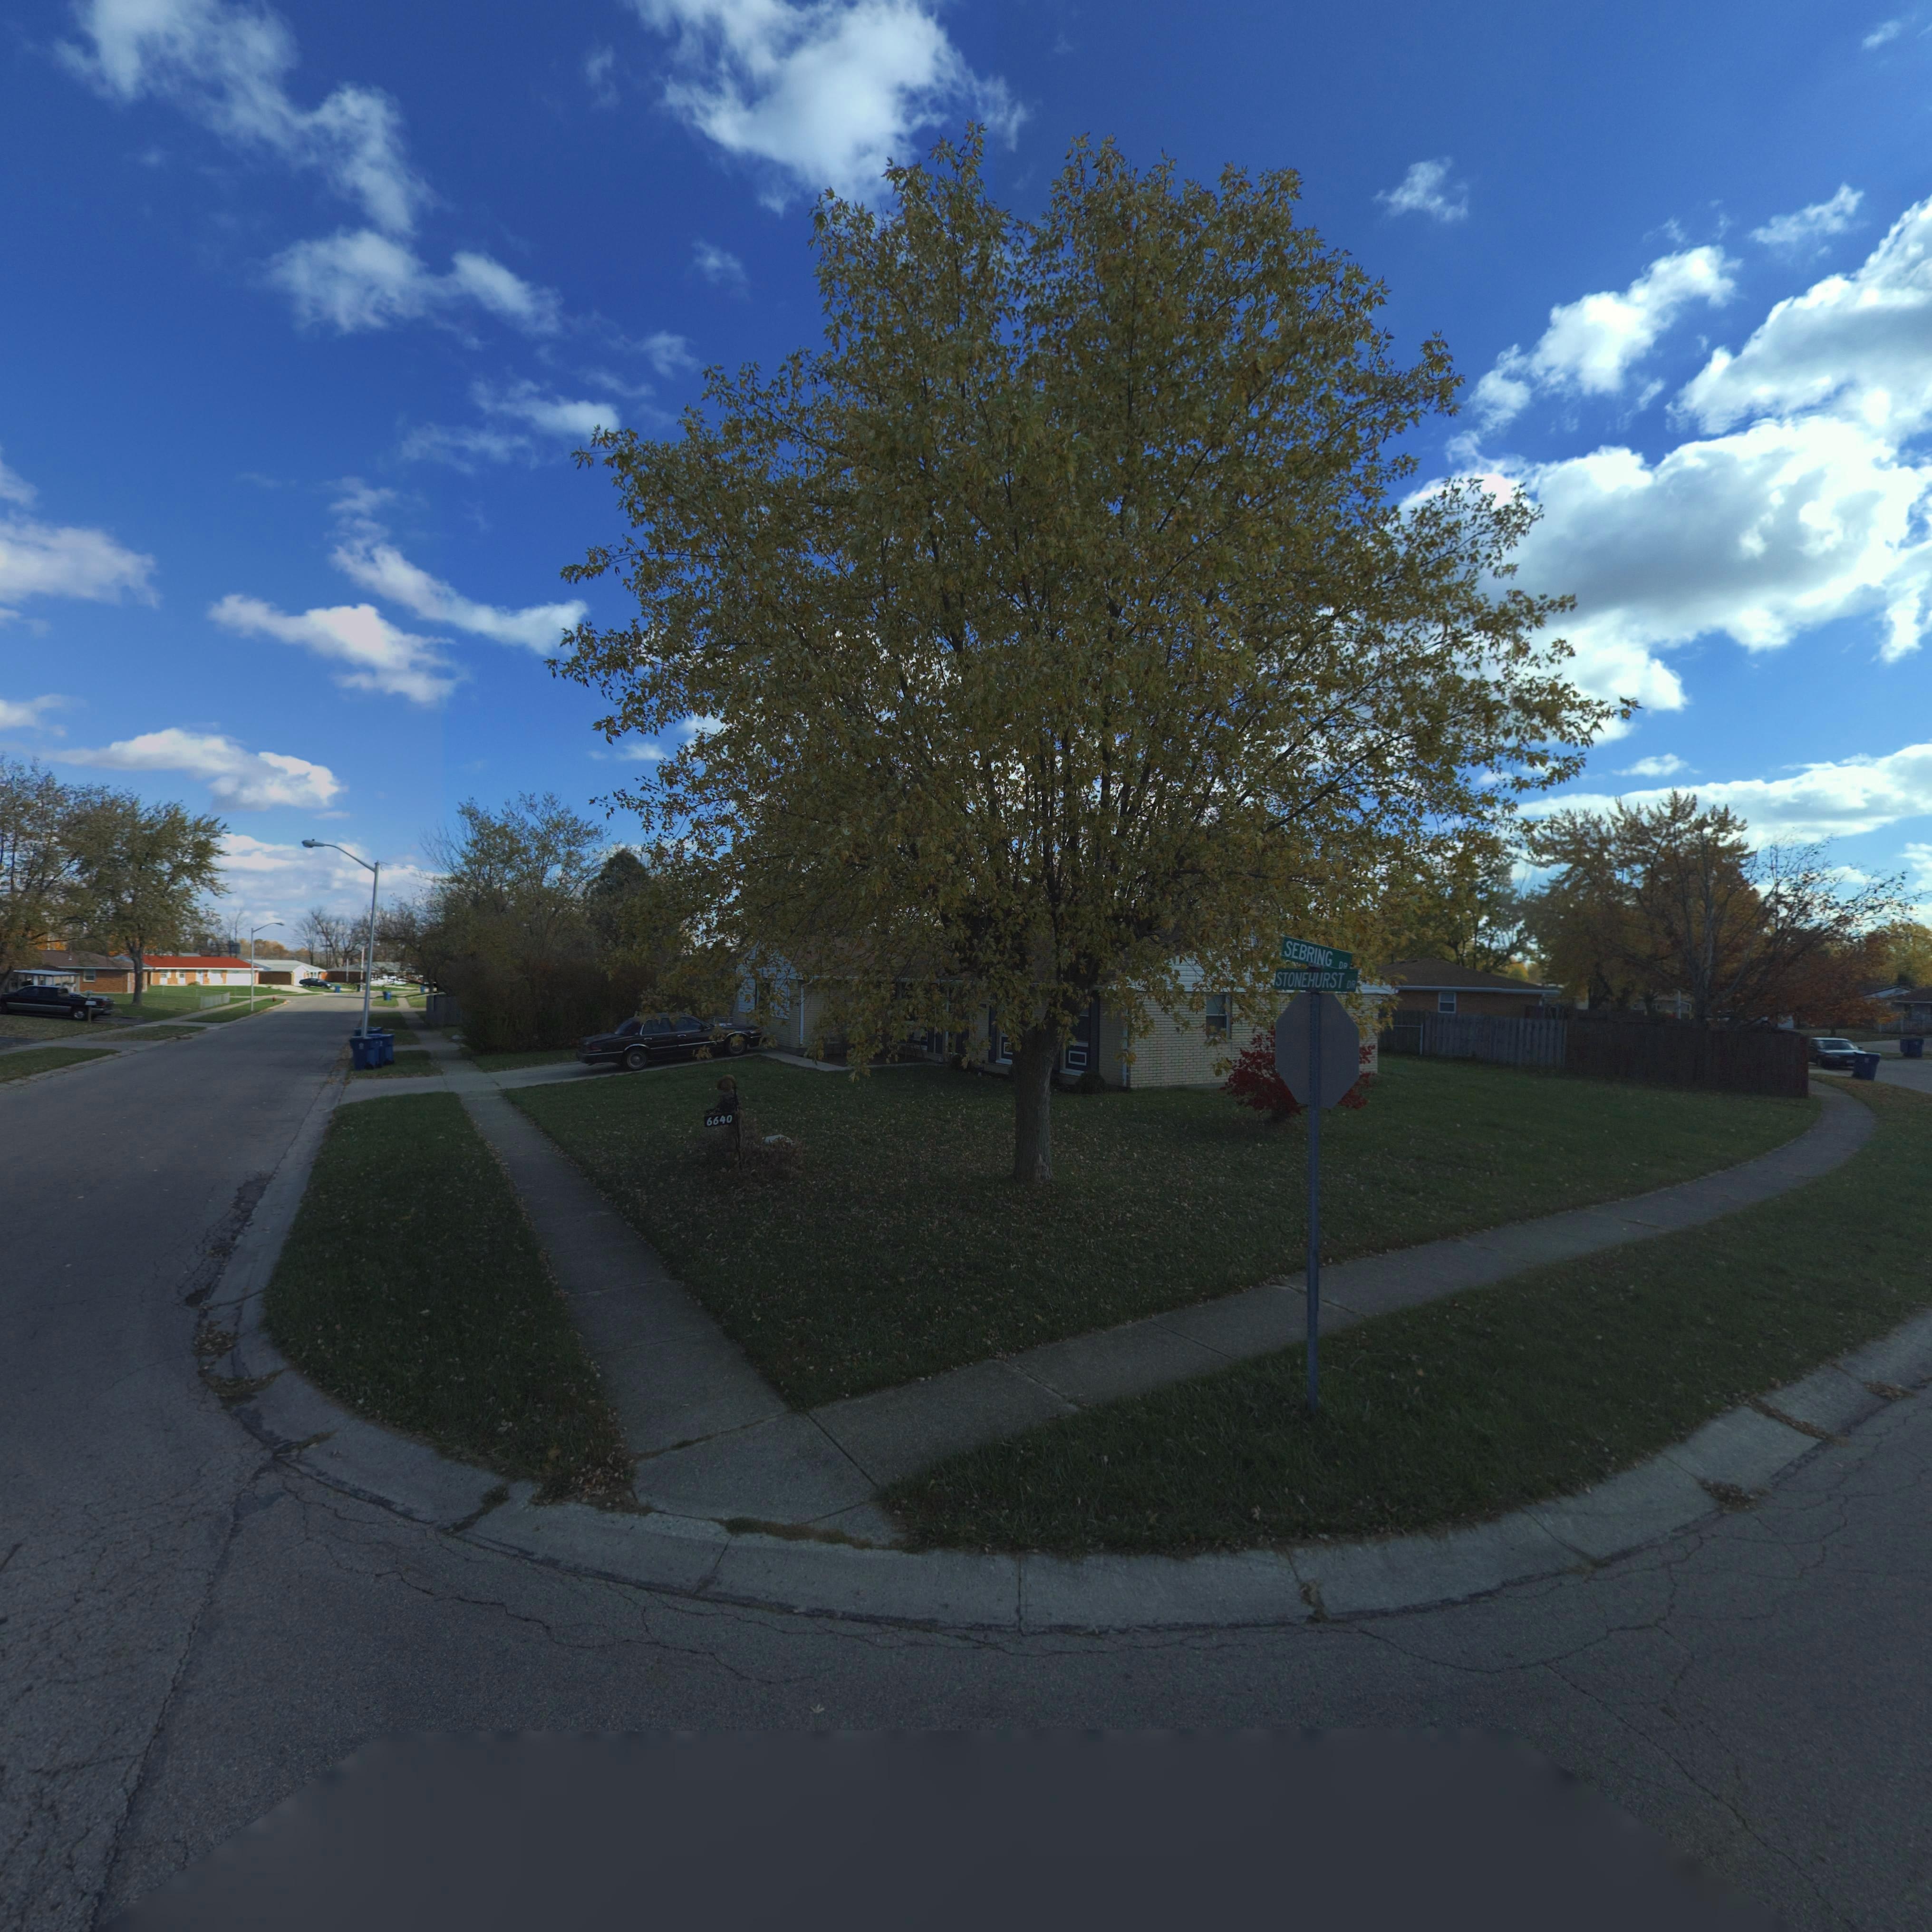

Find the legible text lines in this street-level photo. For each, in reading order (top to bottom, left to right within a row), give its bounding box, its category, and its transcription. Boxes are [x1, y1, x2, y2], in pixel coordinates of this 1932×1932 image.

[1283, 939, 1344, 970] StreetName: SEBRING D
[1275, 971, 1357, 990] StreetName: STONEHURST DR
[706, 1114, 733, 1126] StreetNumber: 6640